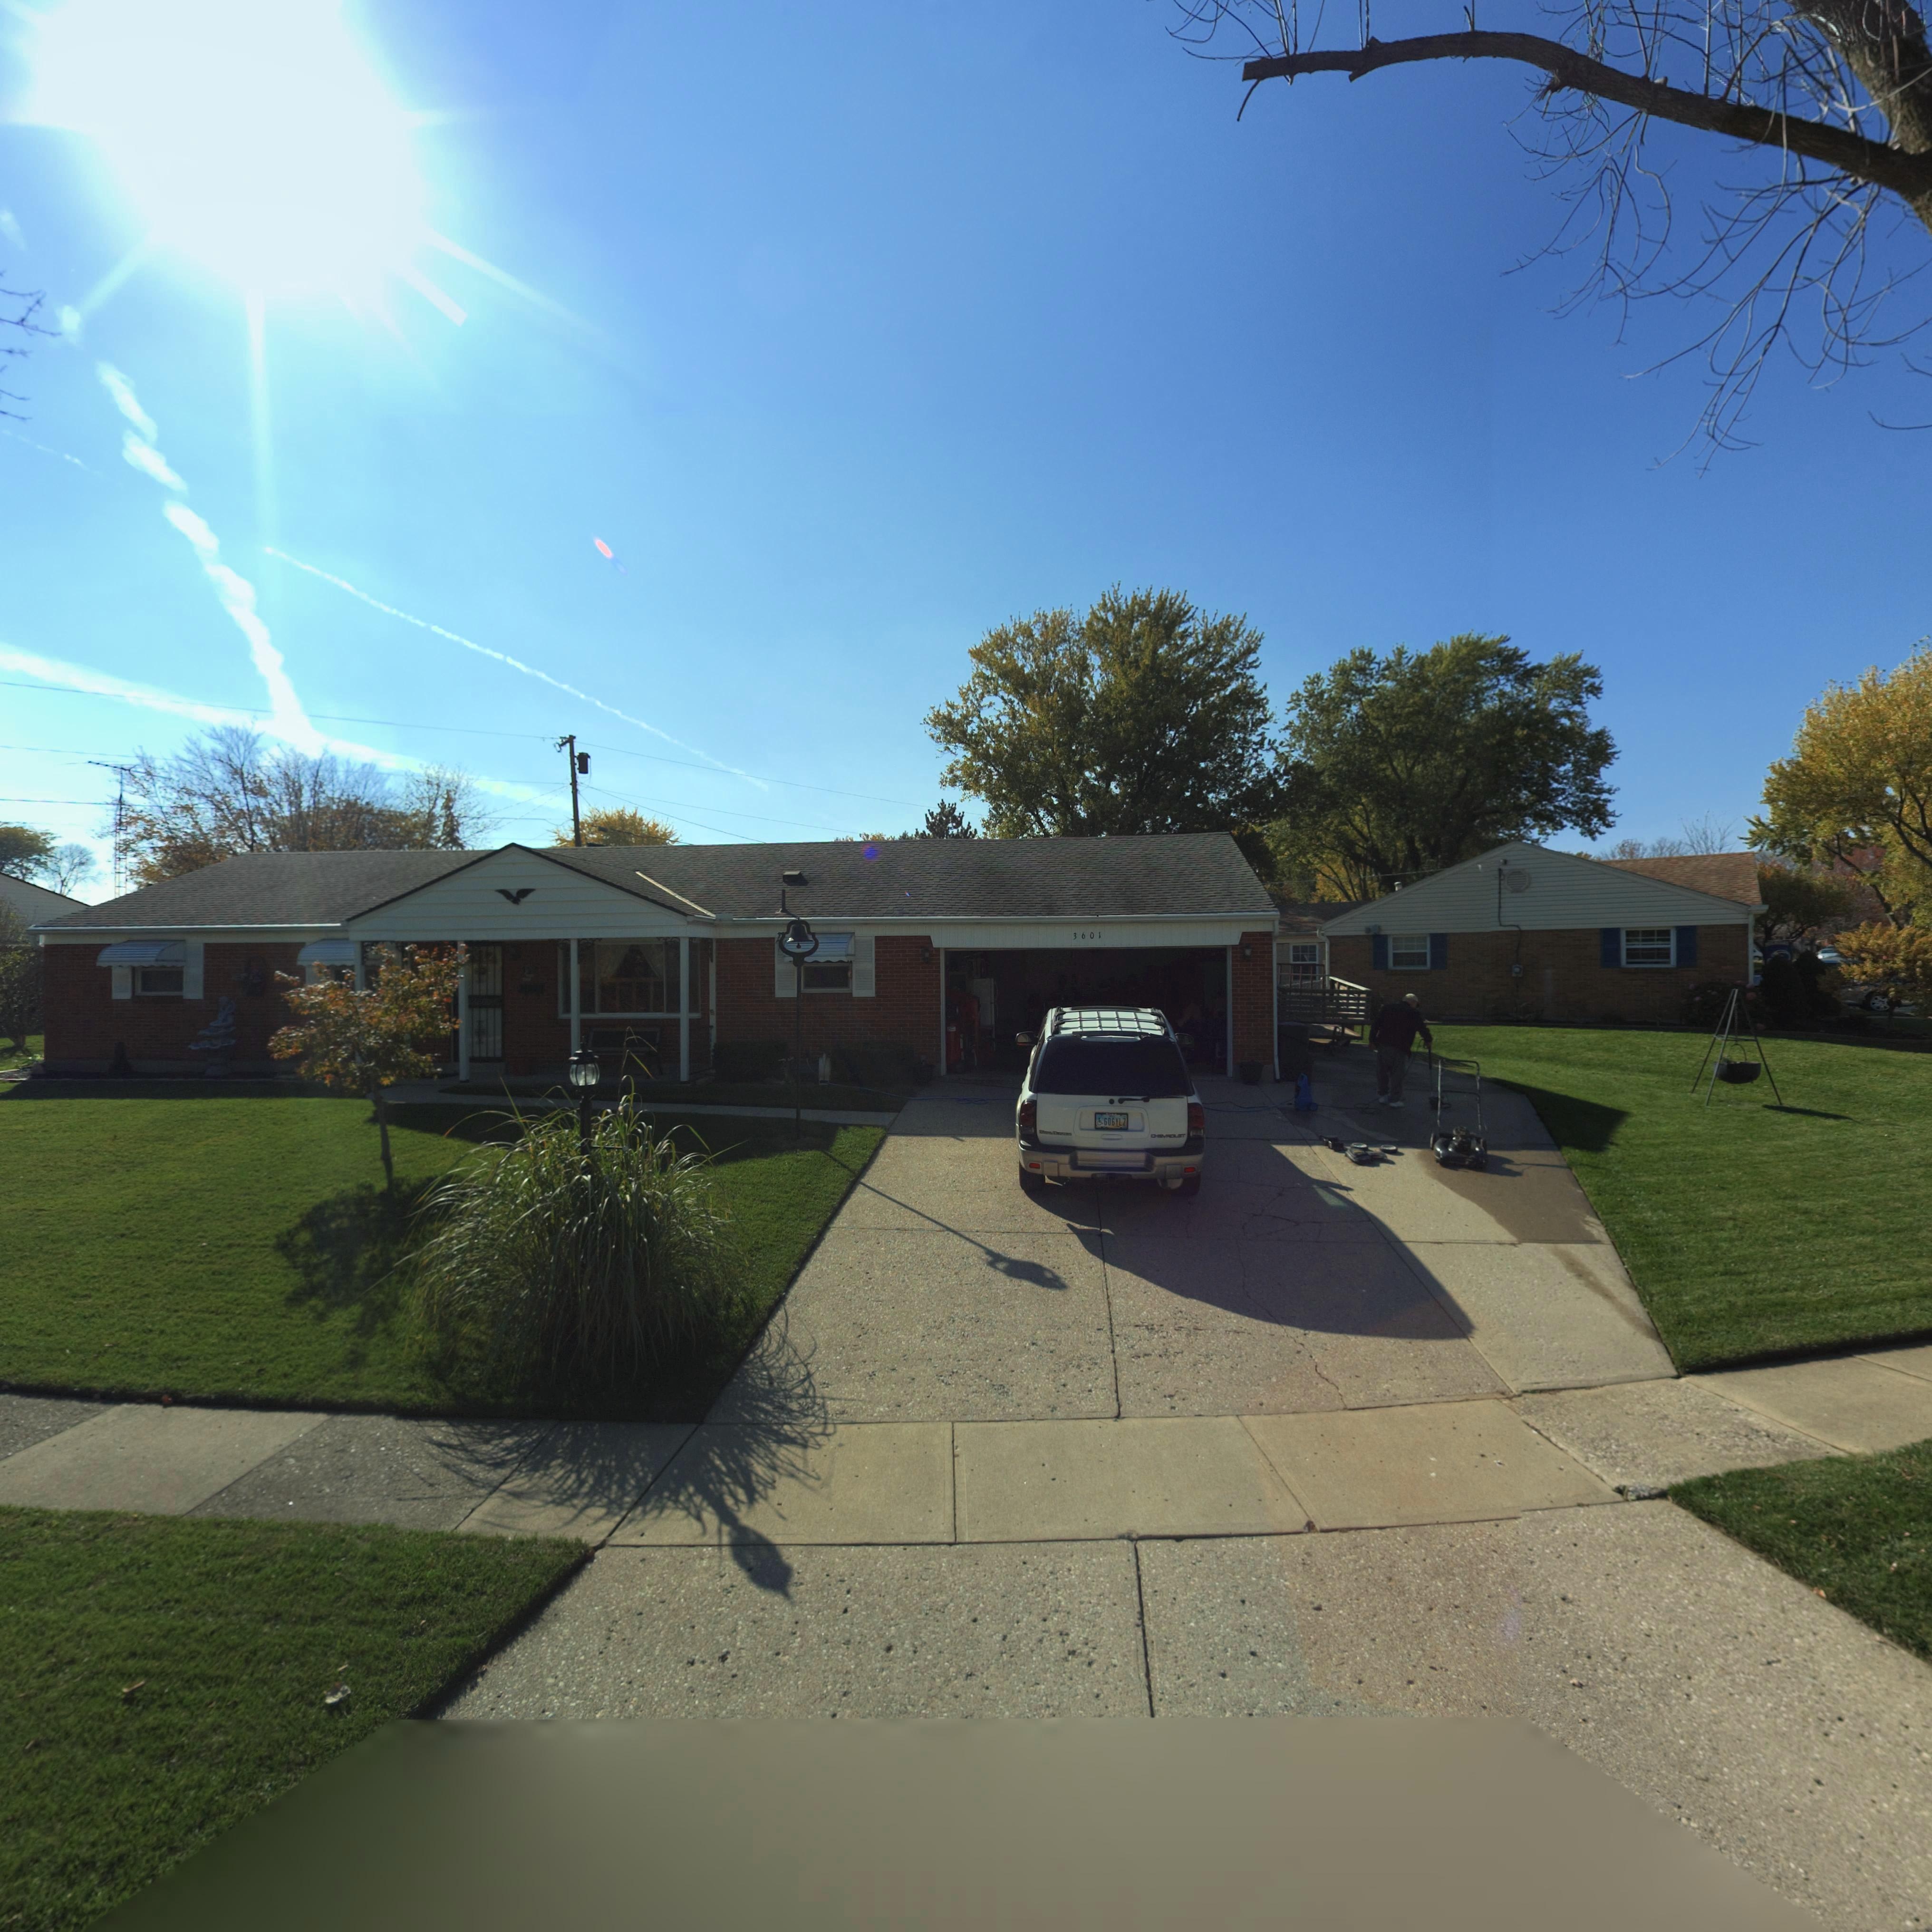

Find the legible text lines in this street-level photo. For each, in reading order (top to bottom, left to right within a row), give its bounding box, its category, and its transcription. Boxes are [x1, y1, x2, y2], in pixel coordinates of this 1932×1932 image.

[1072, 930, 1102, 941] StreetNumber: 3601